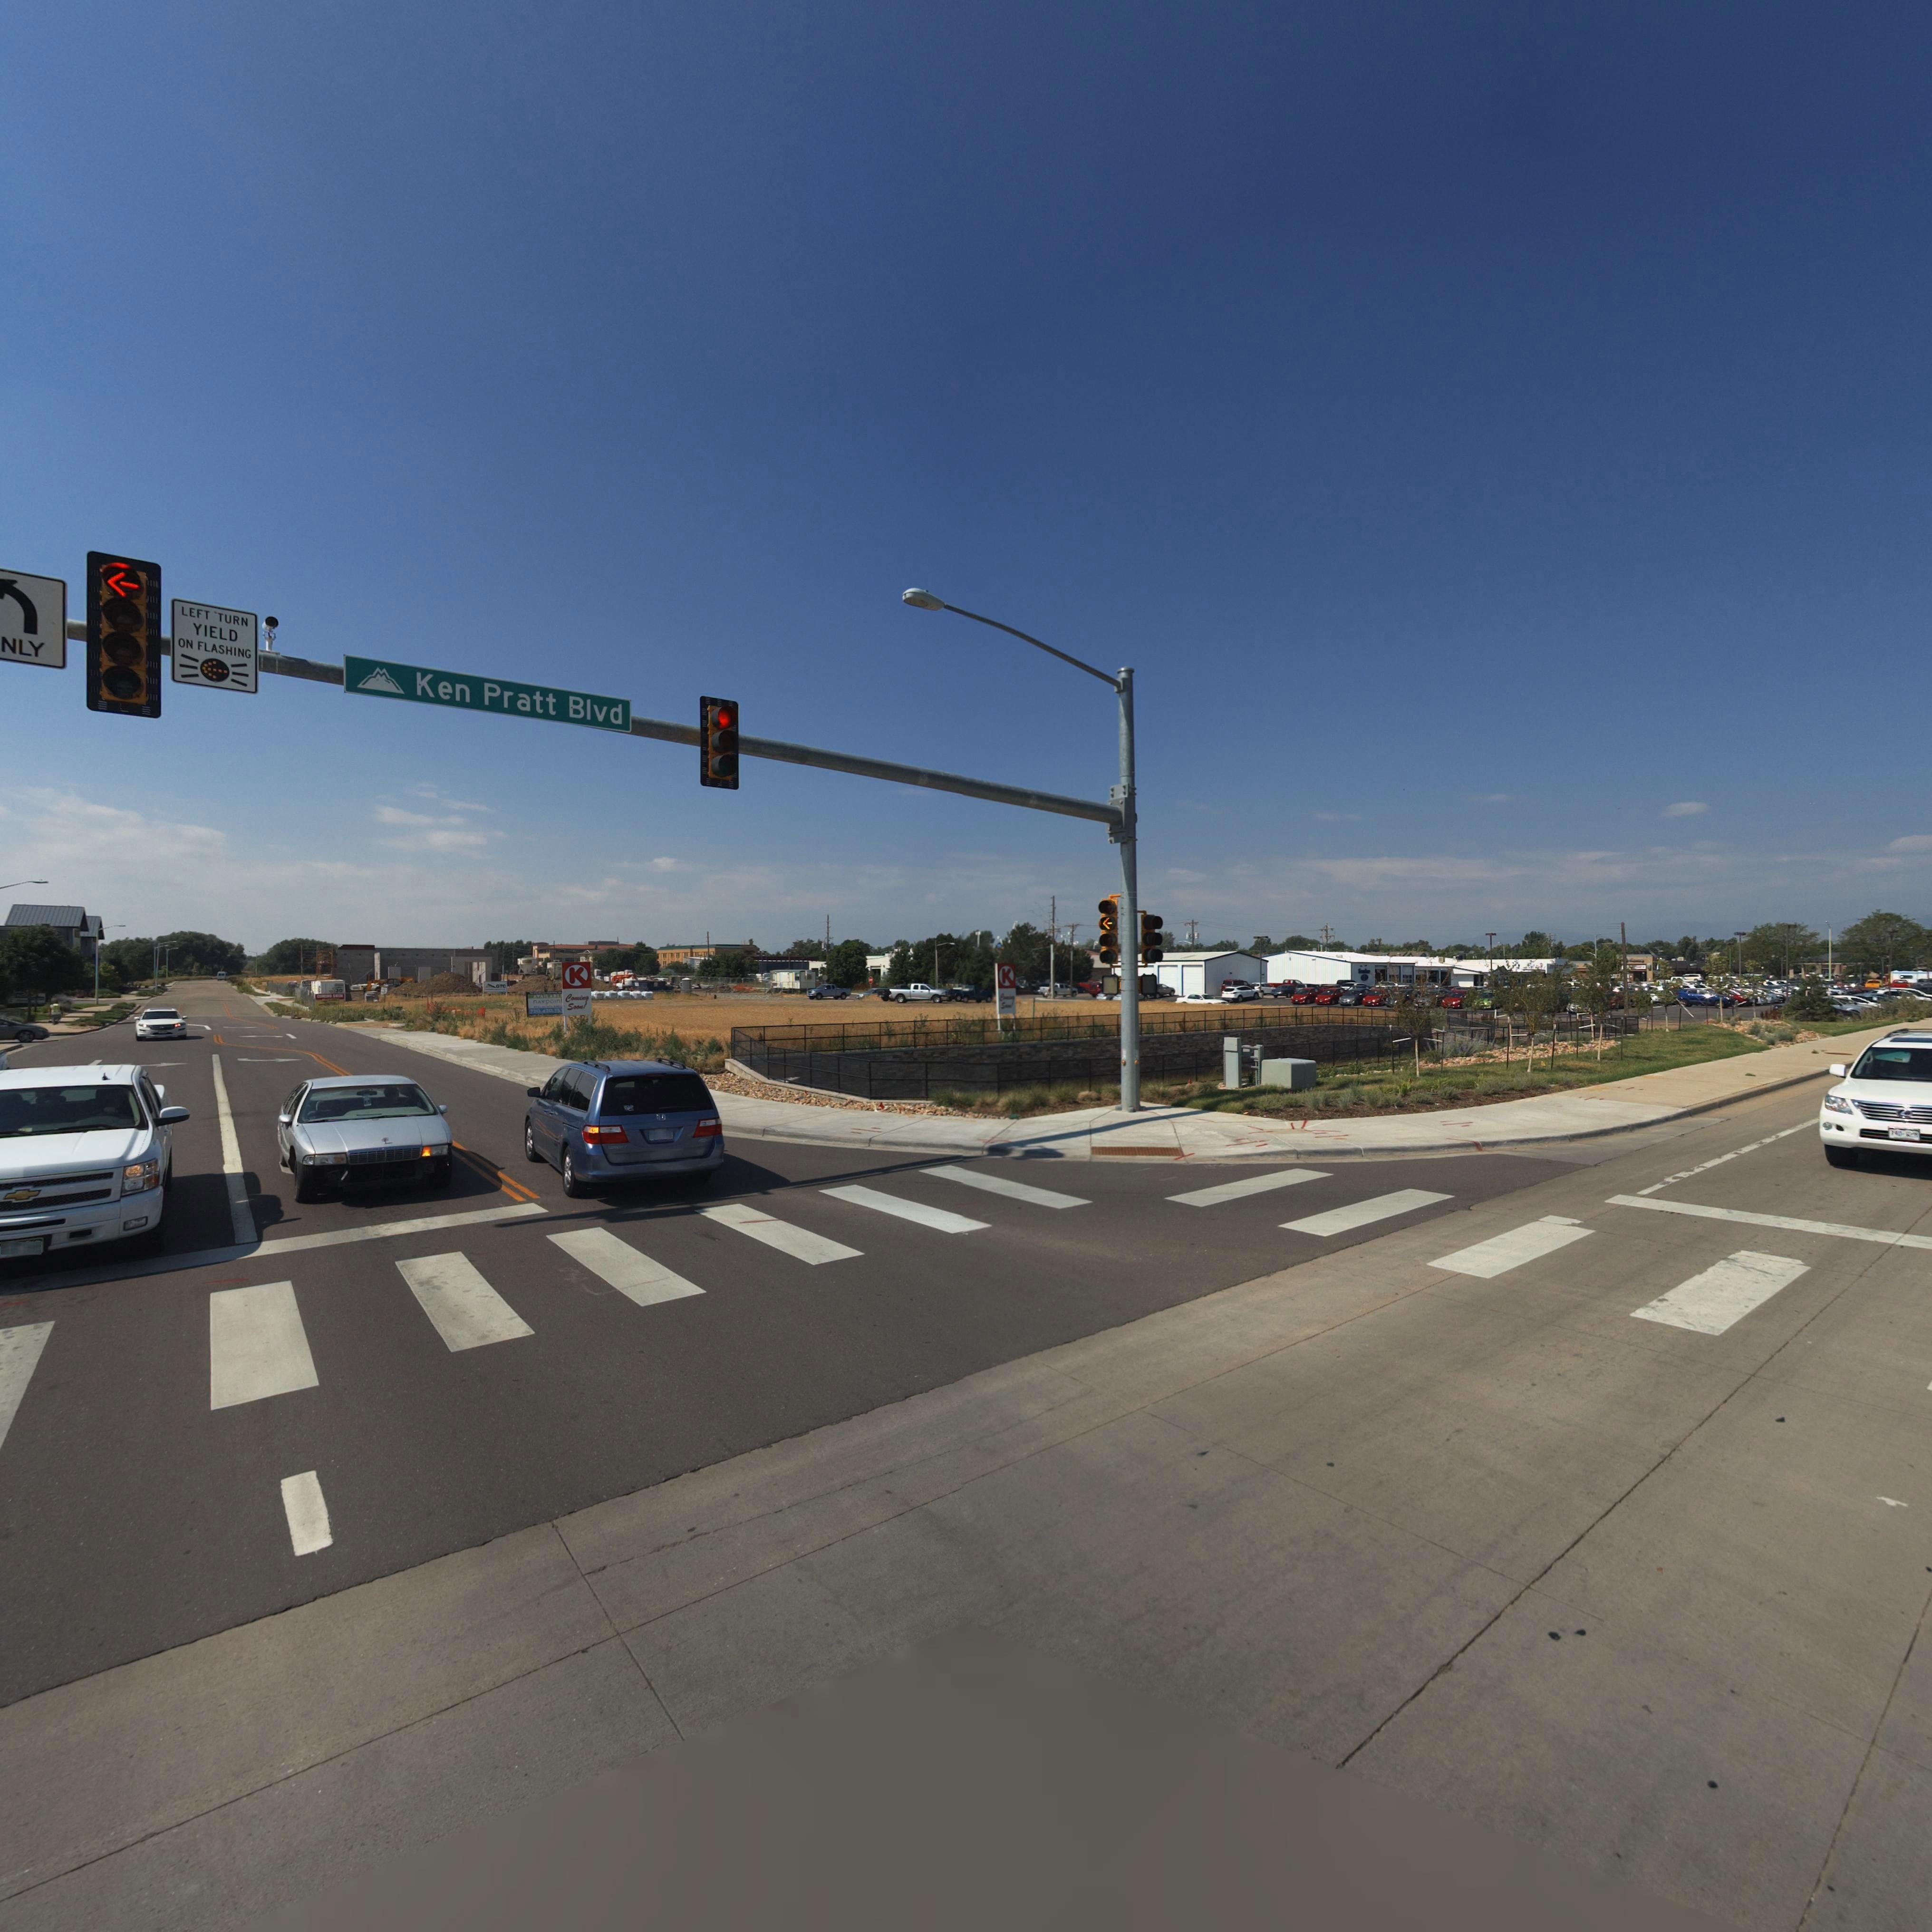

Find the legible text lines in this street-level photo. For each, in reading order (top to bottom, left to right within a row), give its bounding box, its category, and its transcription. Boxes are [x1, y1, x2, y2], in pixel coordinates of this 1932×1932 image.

[415, 671, 622, 725] StreetName: Ken Pratt Blvd